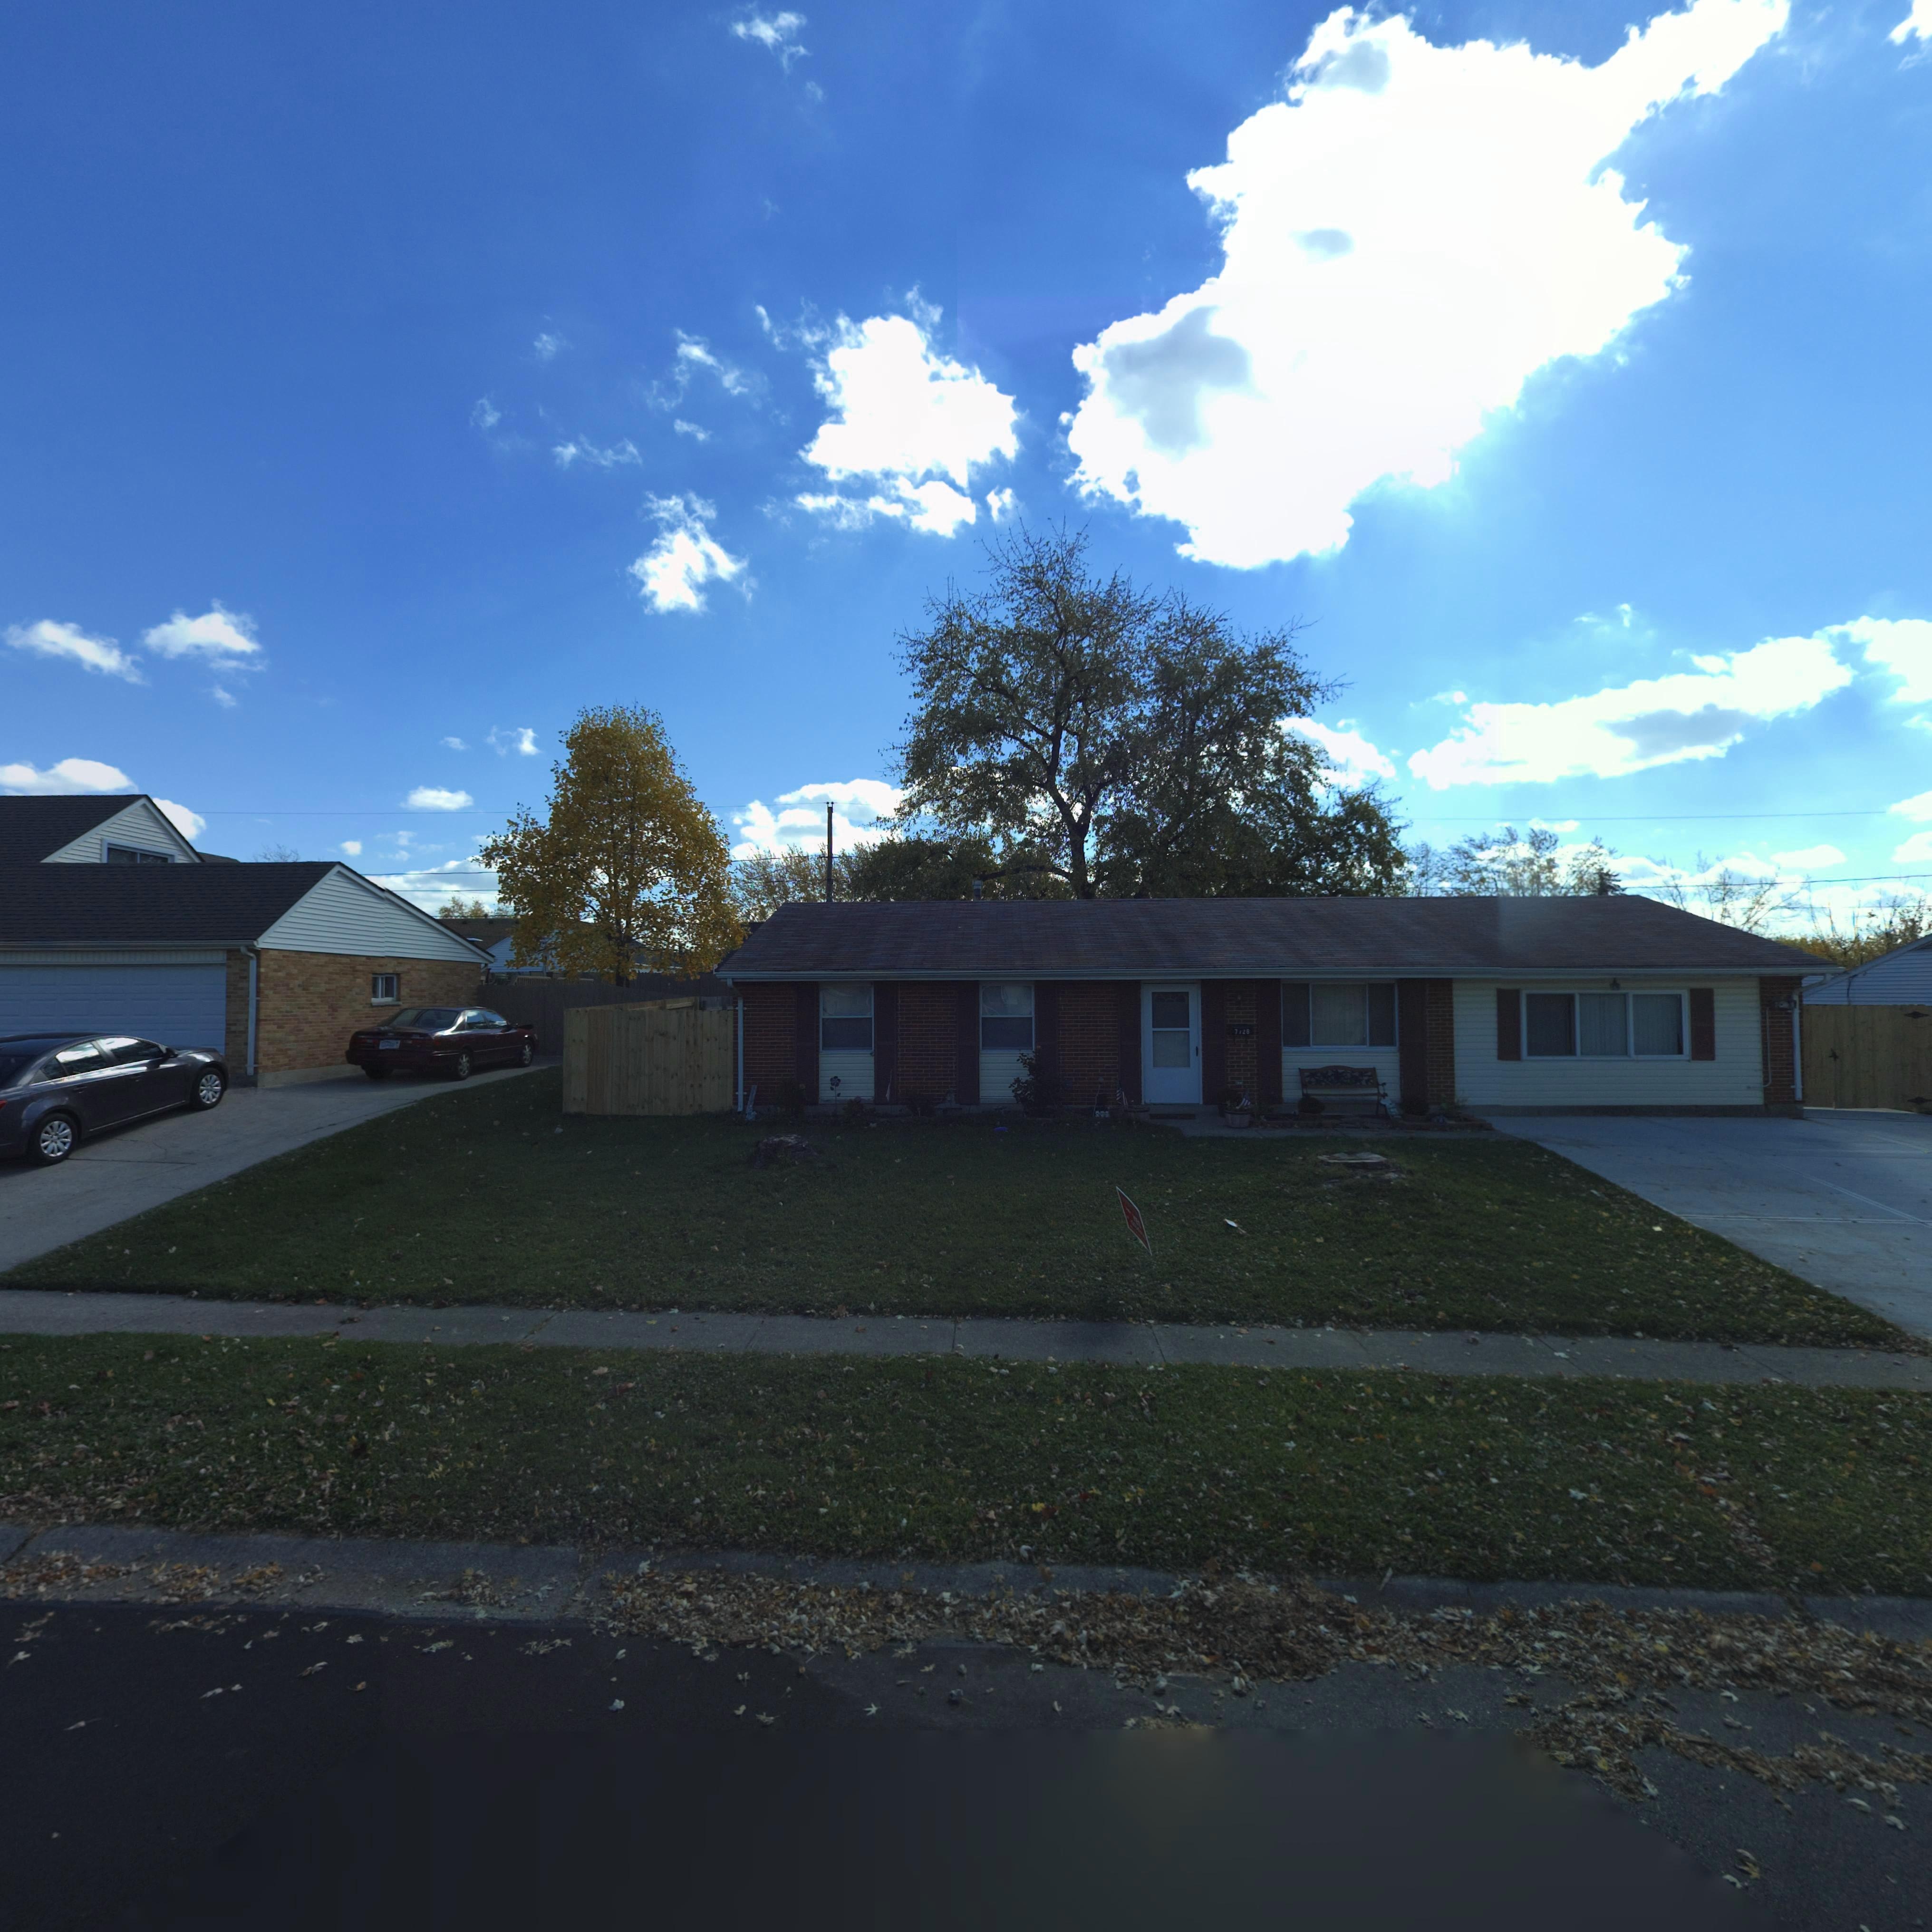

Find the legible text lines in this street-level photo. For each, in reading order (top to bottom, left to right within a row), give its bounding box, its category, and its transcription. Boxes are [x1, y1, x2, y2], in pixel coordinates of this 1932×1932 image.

[1773, 1001, 1778, 1008] StreetNumber: 7
[1234, 1028, 1250, 1034] StreetNumber: 7126